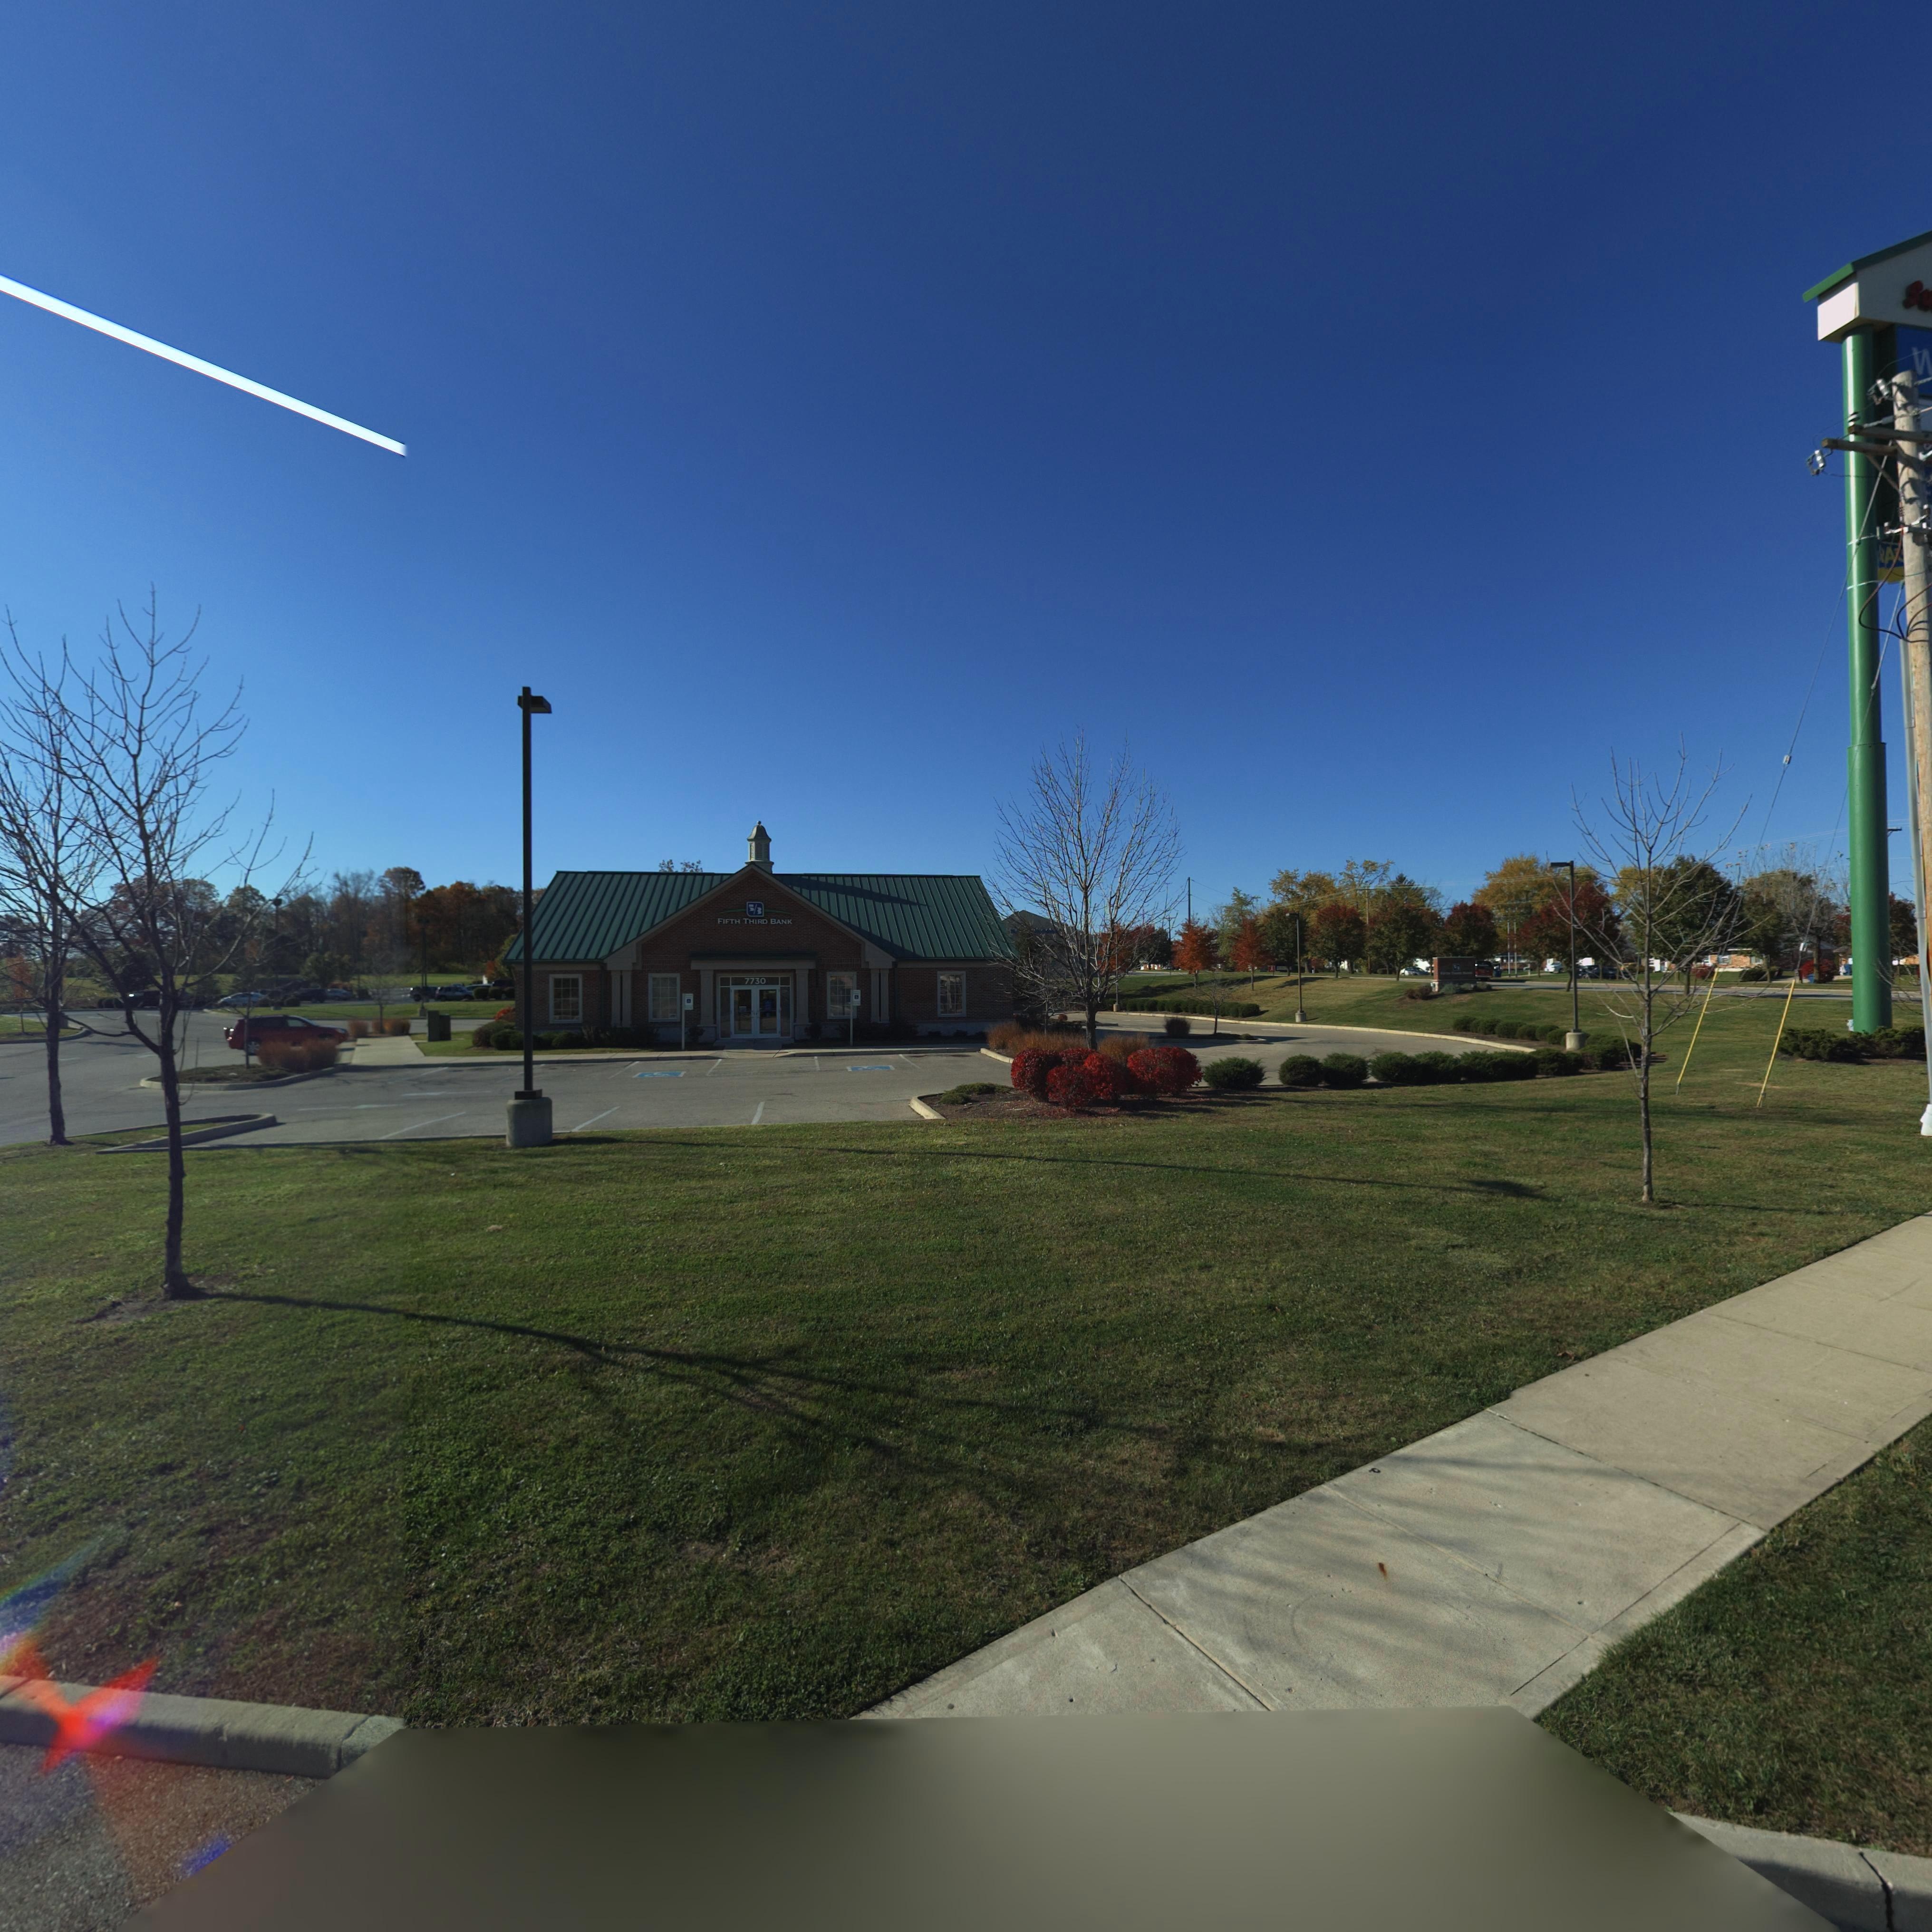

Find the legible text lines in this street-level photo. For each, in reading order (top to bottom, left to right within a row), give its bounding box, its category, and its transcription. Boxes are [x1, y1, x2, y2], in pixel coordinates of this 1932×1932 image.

[744, 977, 766, 985] StreetNumber: 7730